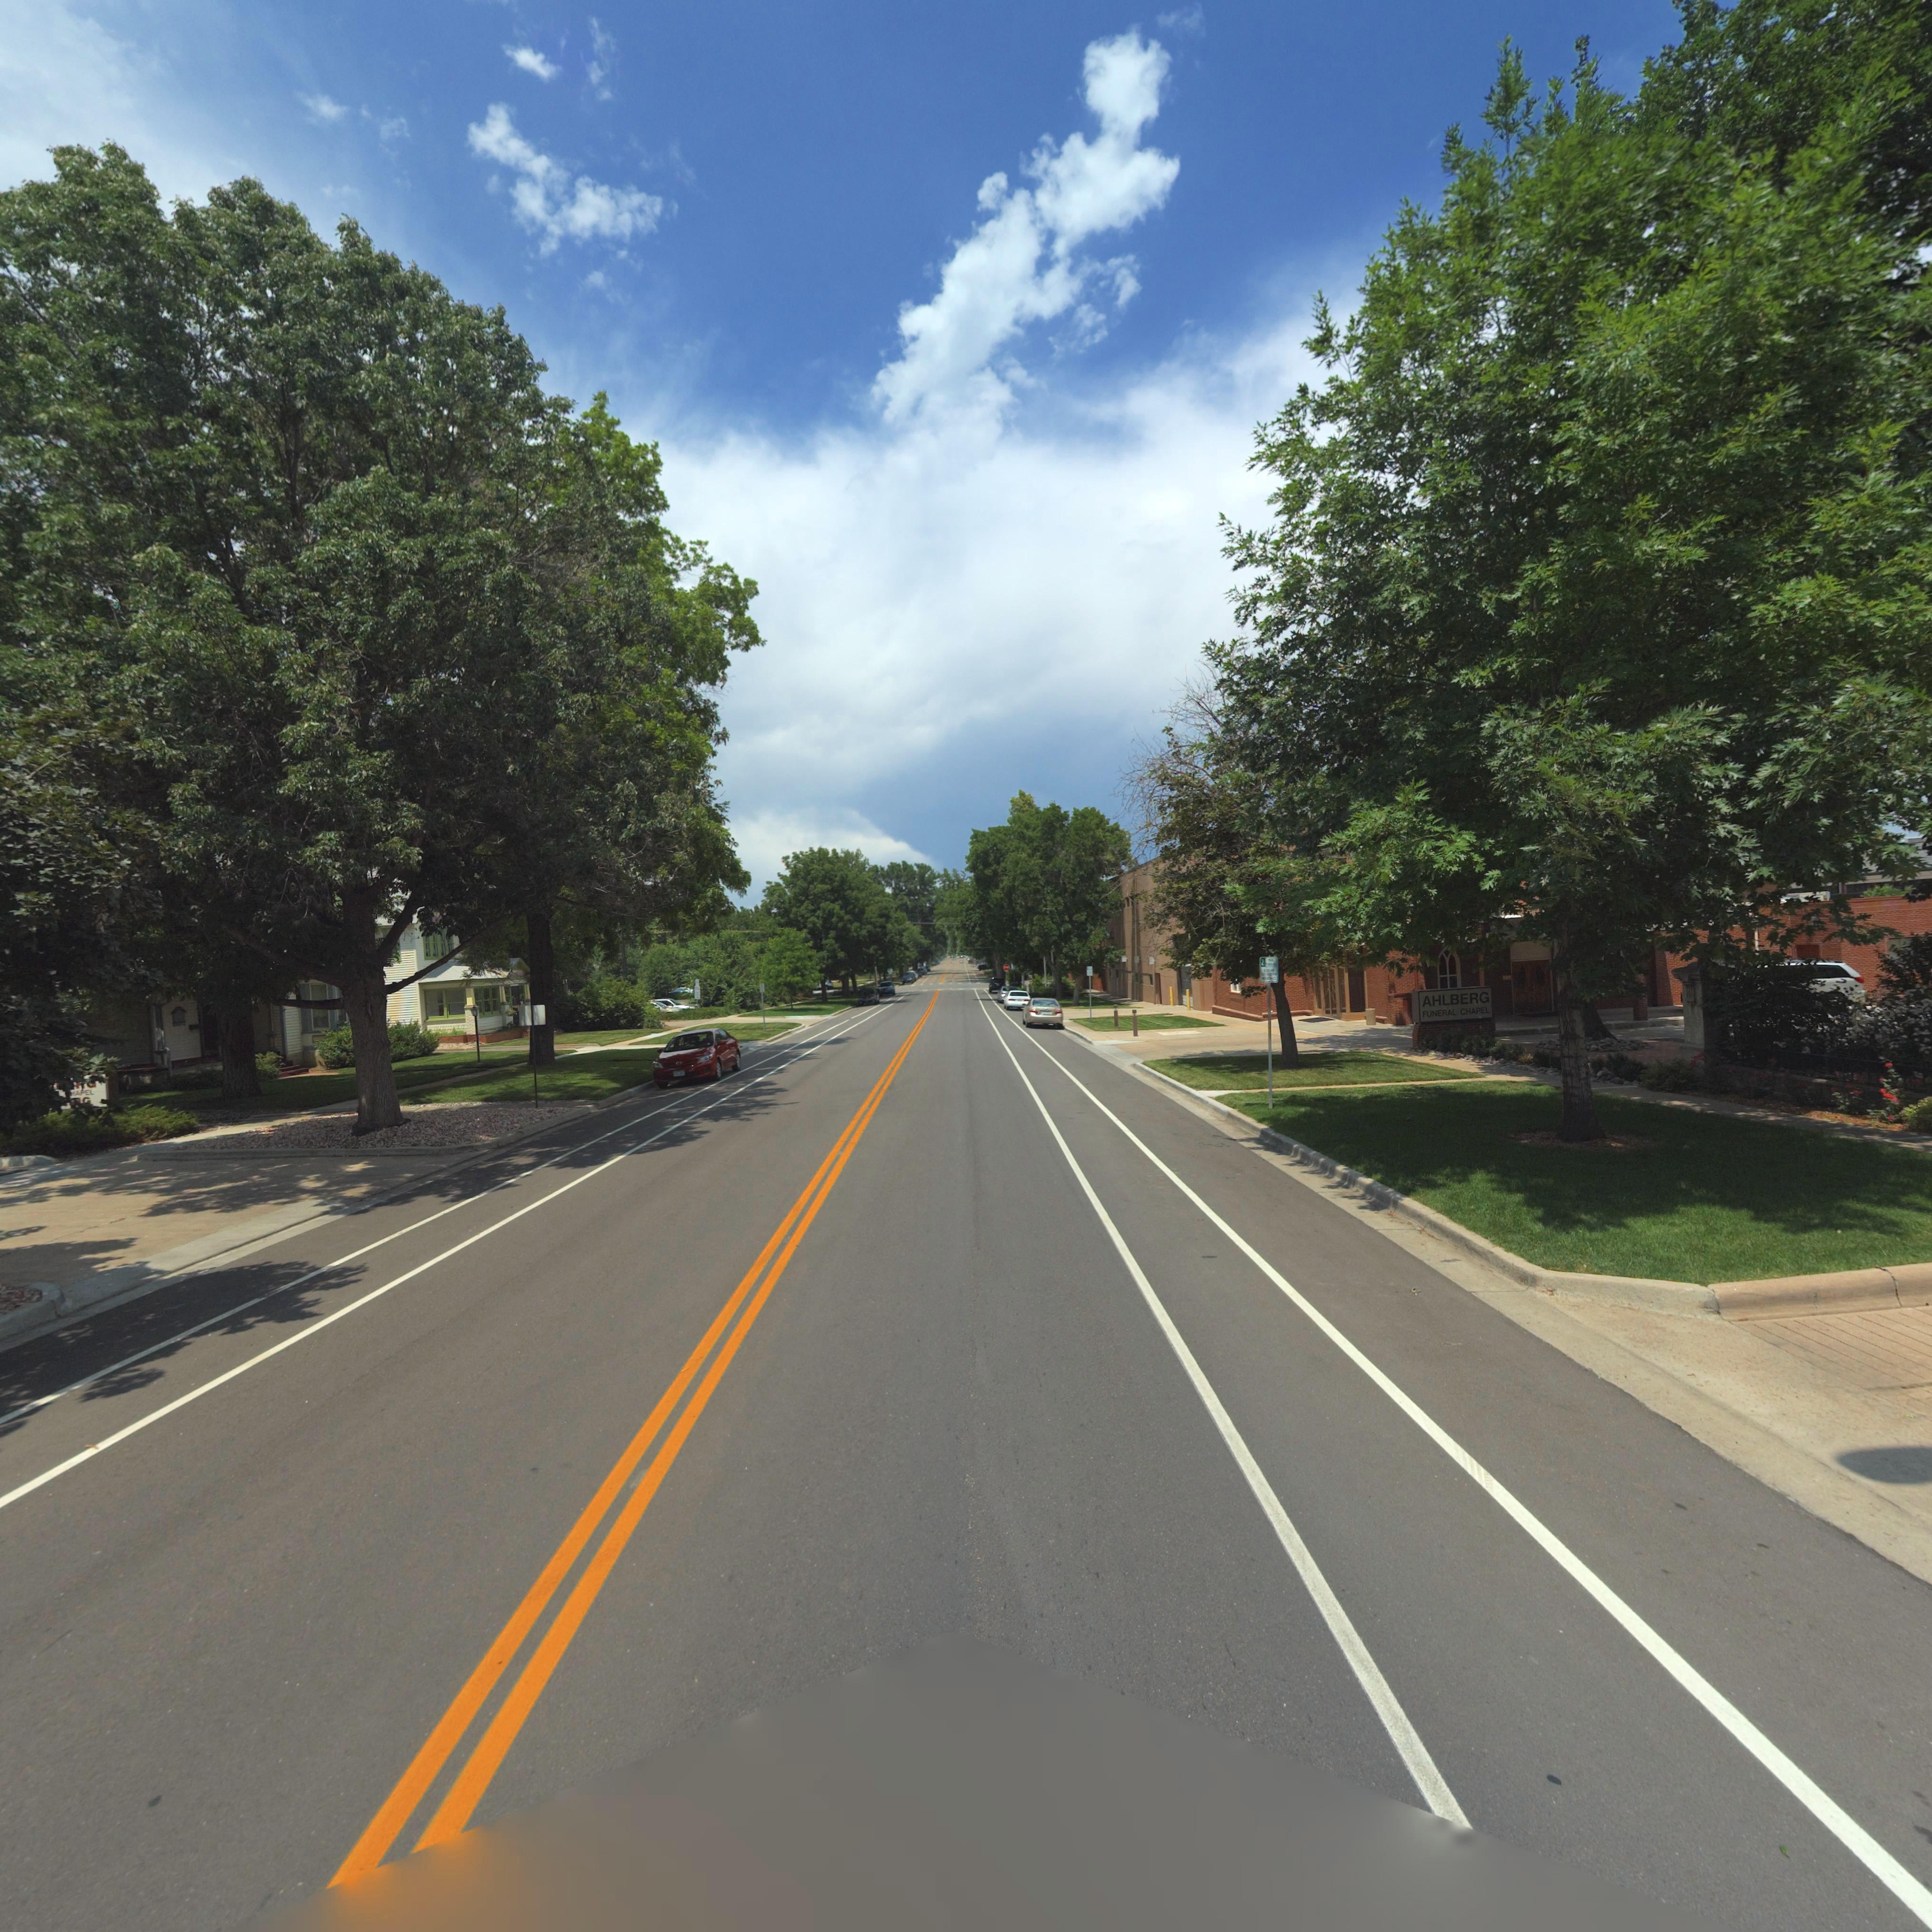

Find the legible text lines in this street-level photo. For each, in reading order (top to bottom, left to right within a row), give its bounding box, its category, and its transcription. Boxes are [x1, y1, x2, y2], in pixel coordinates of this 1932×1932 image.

[1422, 991, 1489, 1007] BusinessName: AHLBERG
[1422, 1006, 1490, 1017] BusinessName: FUNERAL CHAPEL